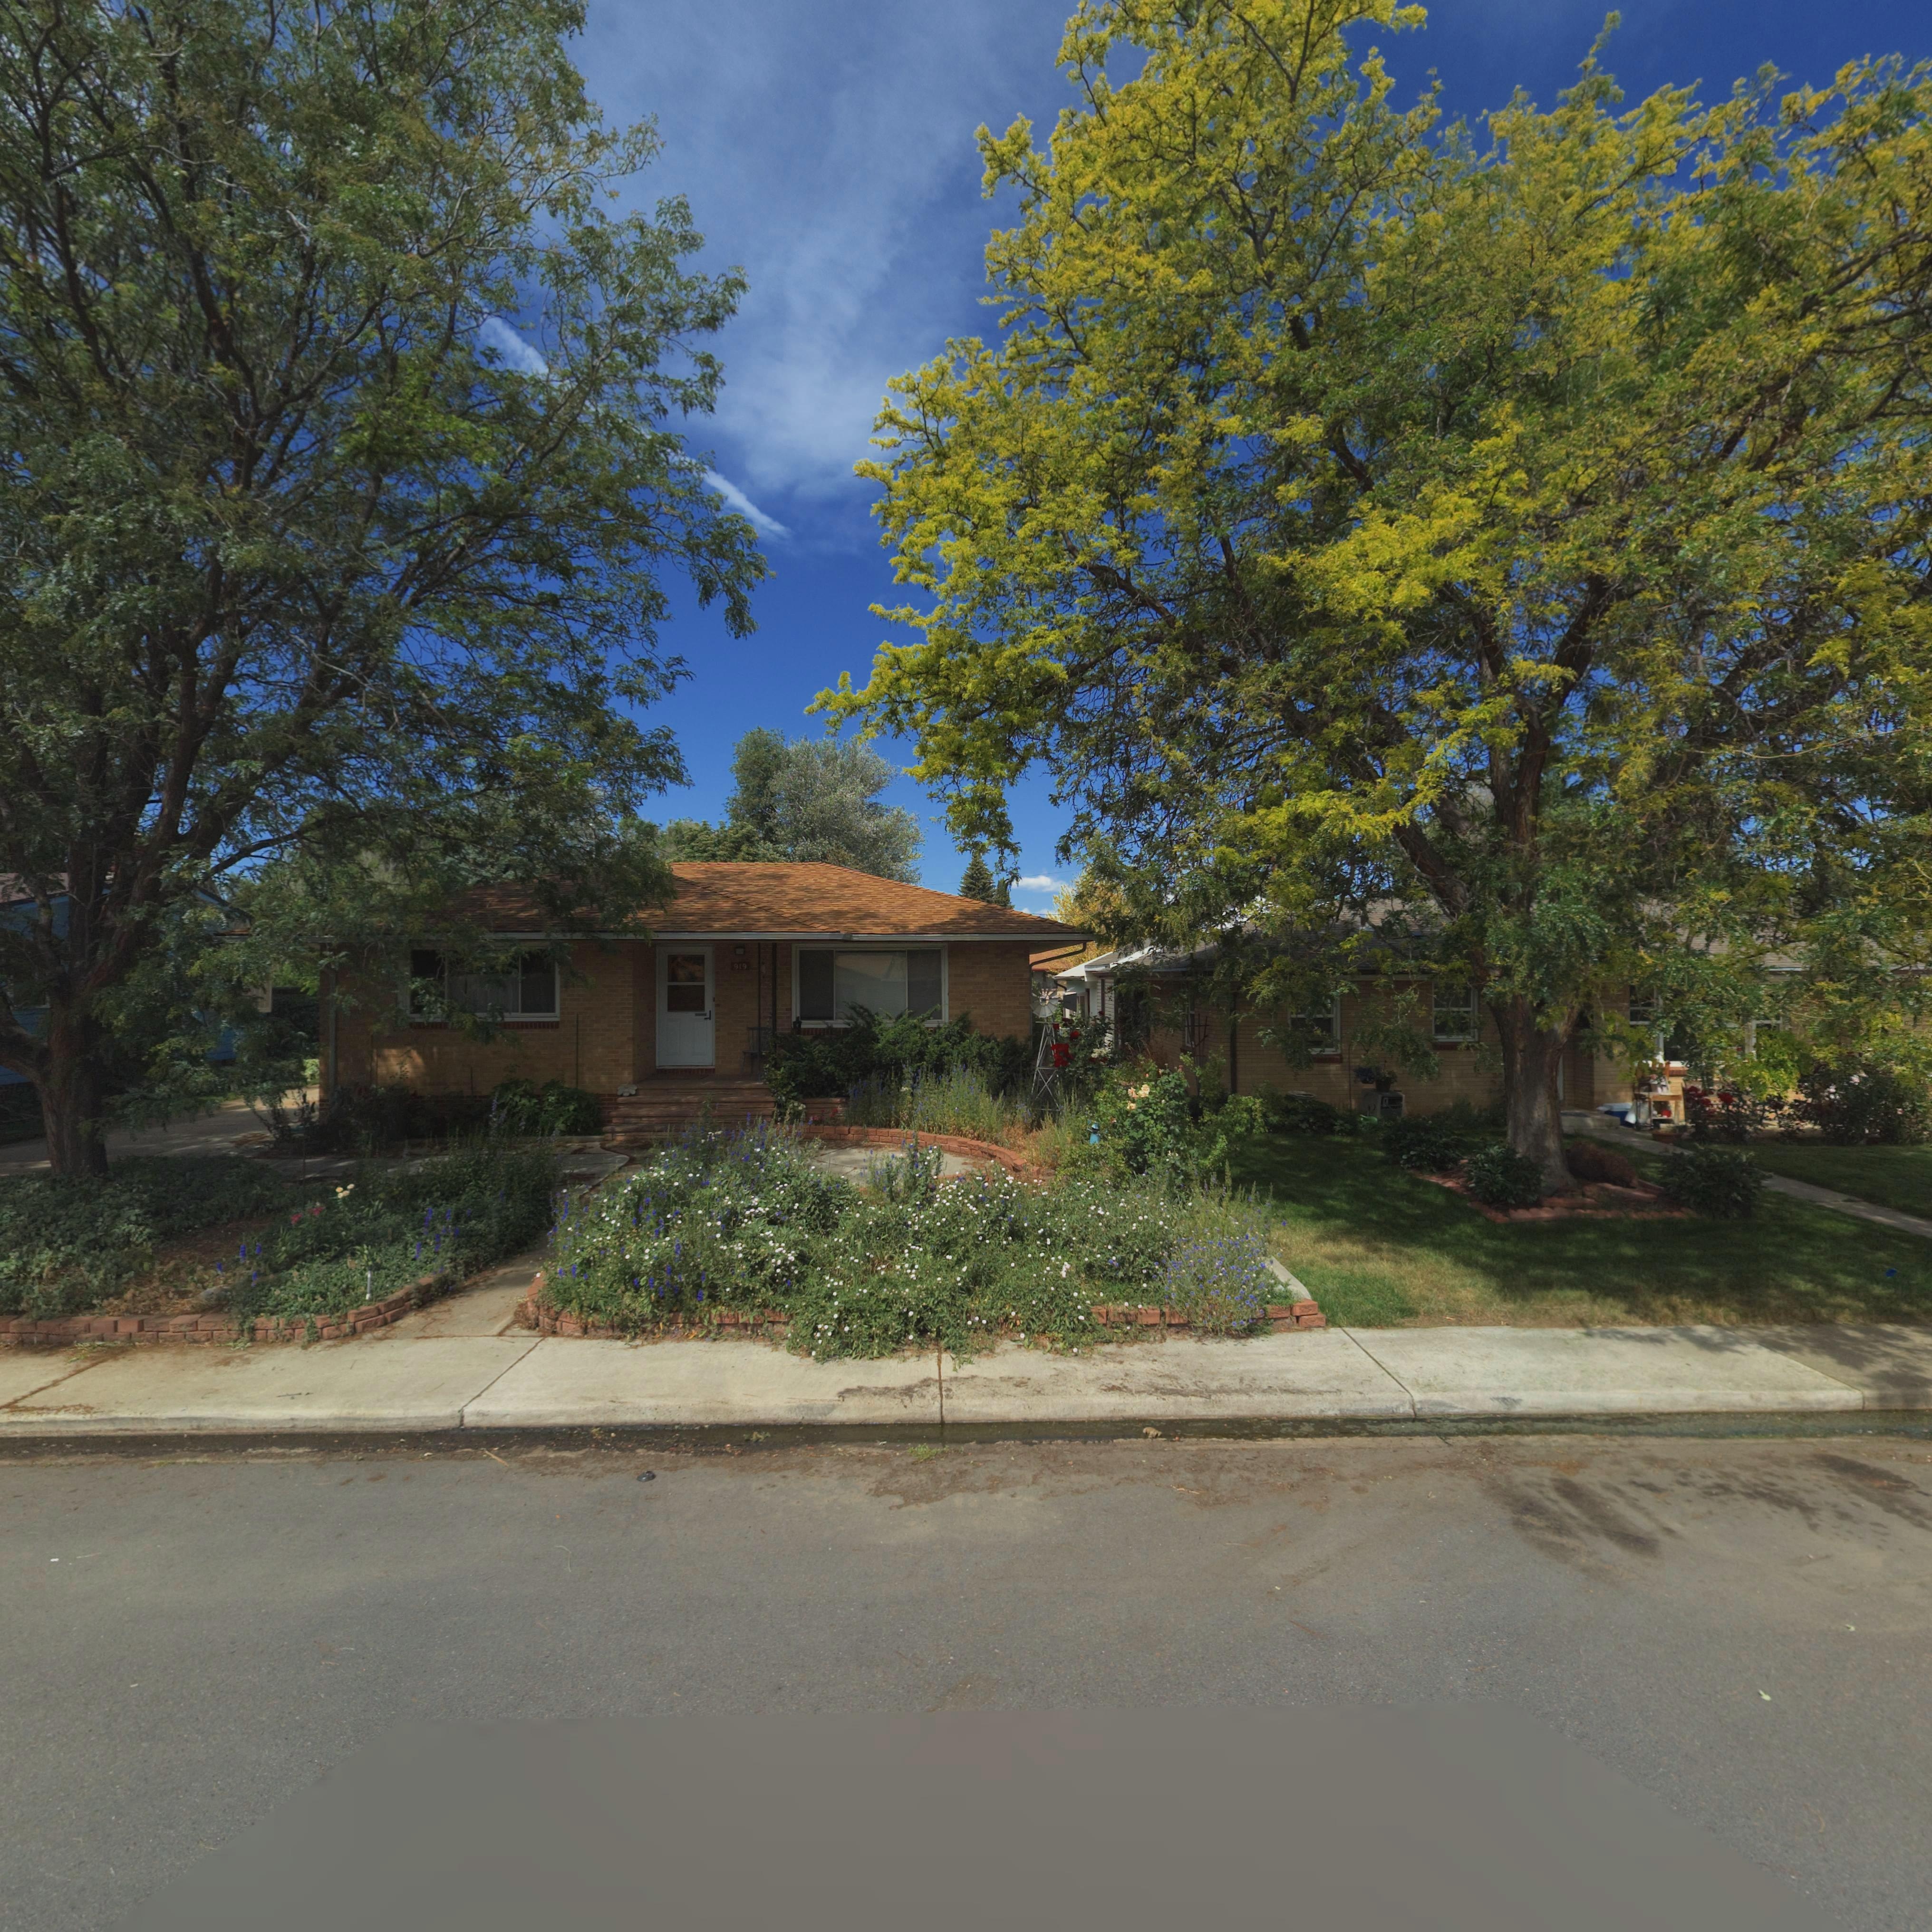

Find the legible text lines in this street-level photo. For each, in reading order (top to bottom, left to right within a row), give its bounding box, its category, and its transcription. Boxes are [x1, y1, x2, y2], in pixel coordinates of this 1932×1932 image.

[734, 963, 746, 970] StreetNumber: 919